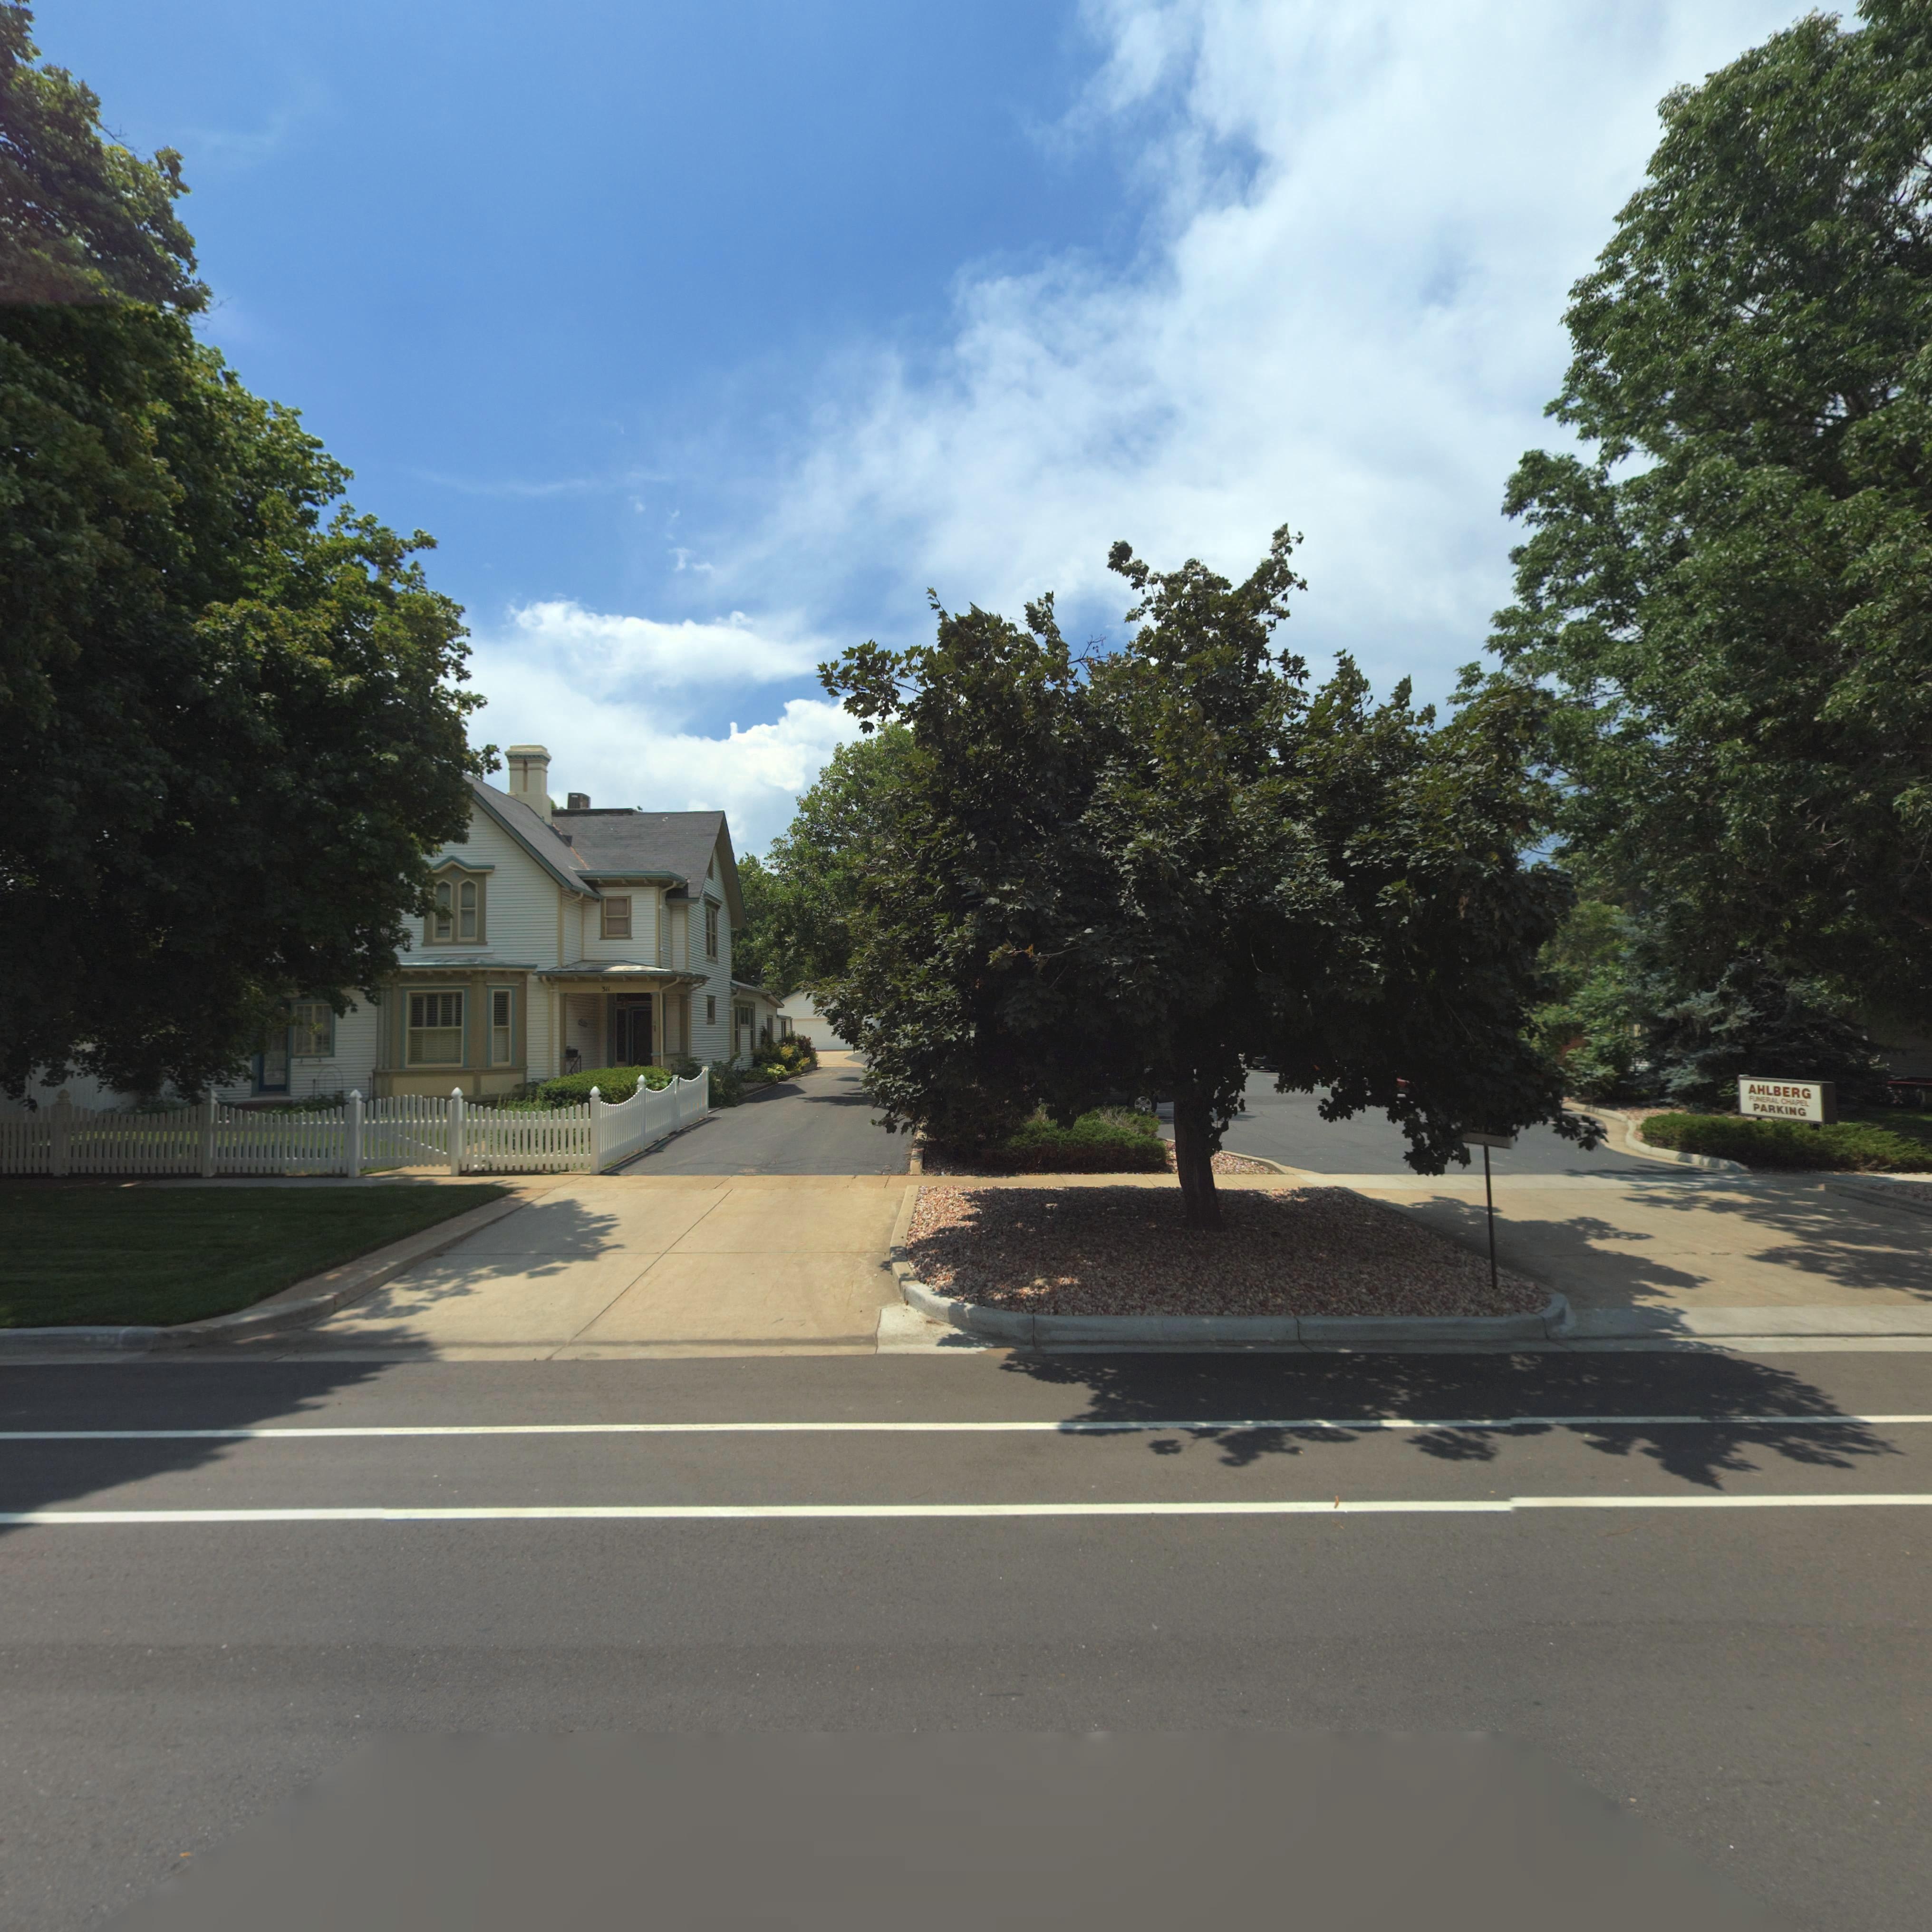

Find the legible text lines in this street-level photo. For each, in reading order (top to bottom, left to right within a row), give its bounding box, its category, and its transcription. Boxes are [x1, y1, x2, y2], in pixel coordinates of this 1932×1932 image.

[601, 985, 610, 992] StreetNumber: 311
[1747, 1083, 1811, 1099] BusinessName: AHLBERG
[1748, 1095, 1809, 1107] BusinessName: FUNERAL CHAPEL